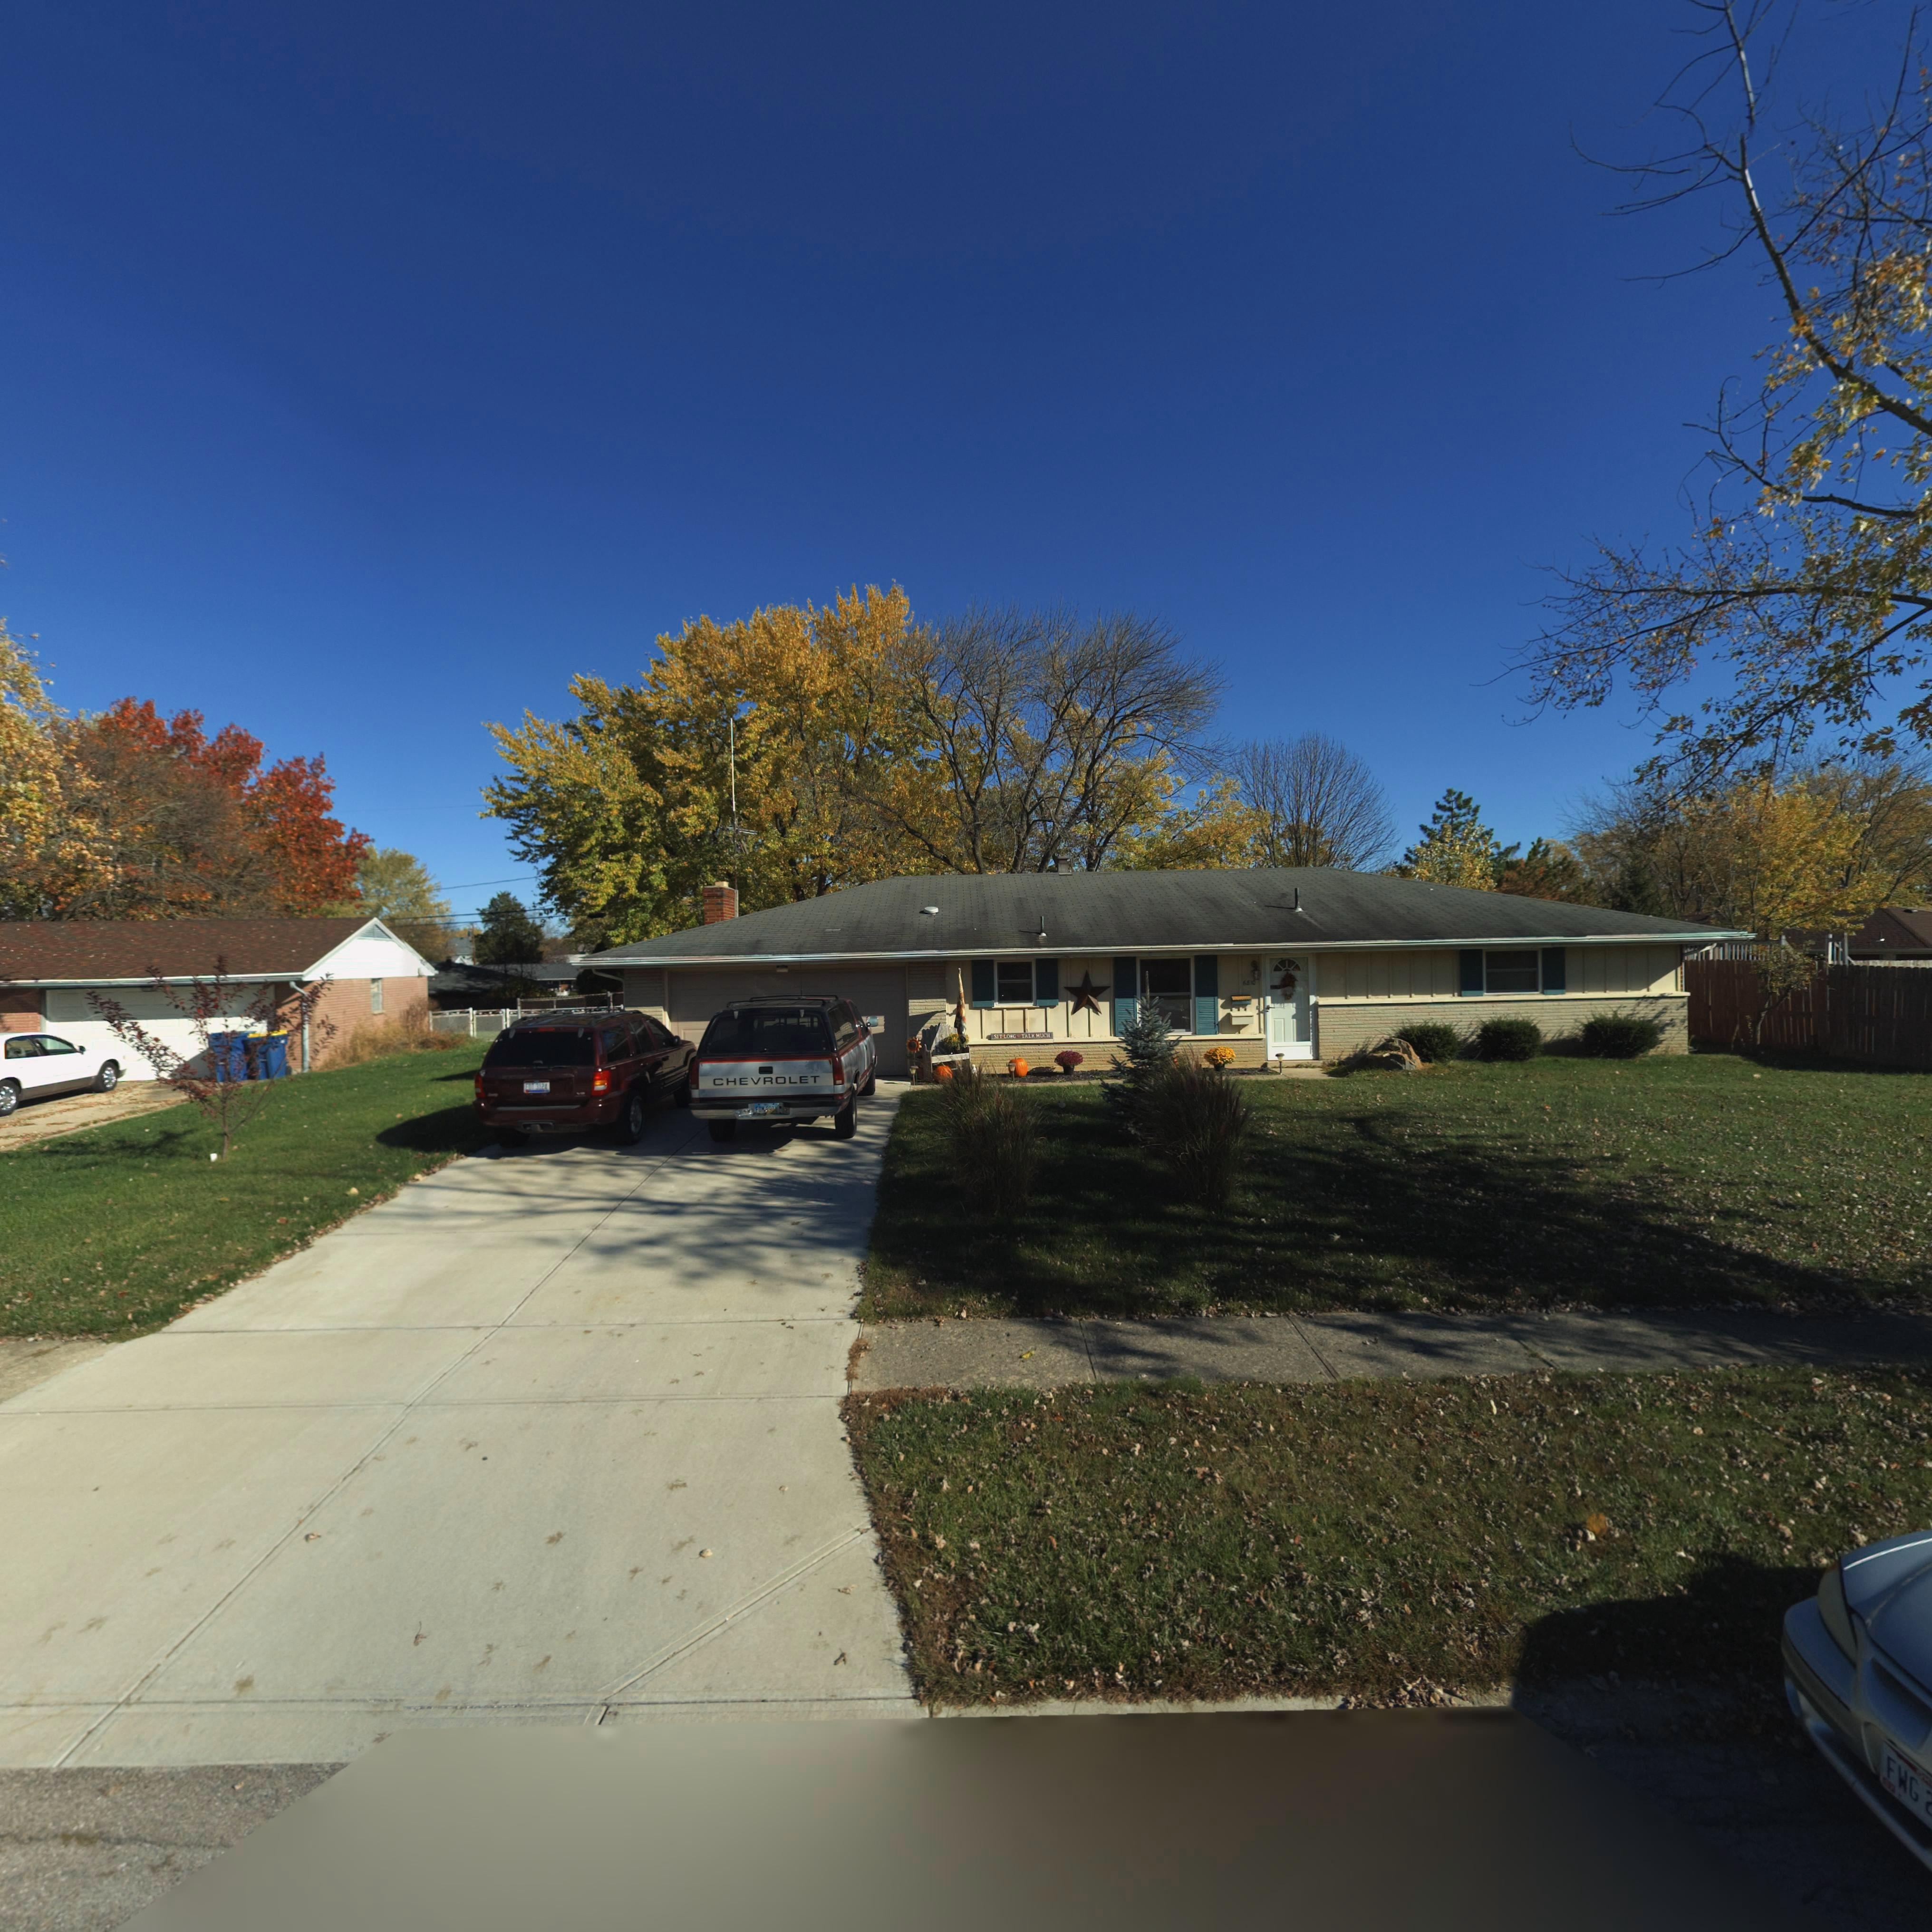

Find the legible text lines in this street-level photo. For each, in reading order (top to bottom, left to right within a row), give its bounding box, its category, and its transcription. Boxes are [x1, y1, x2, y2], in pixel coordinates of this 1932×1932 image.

[1243, 979, 1256, 985] StreetNumber: 6810